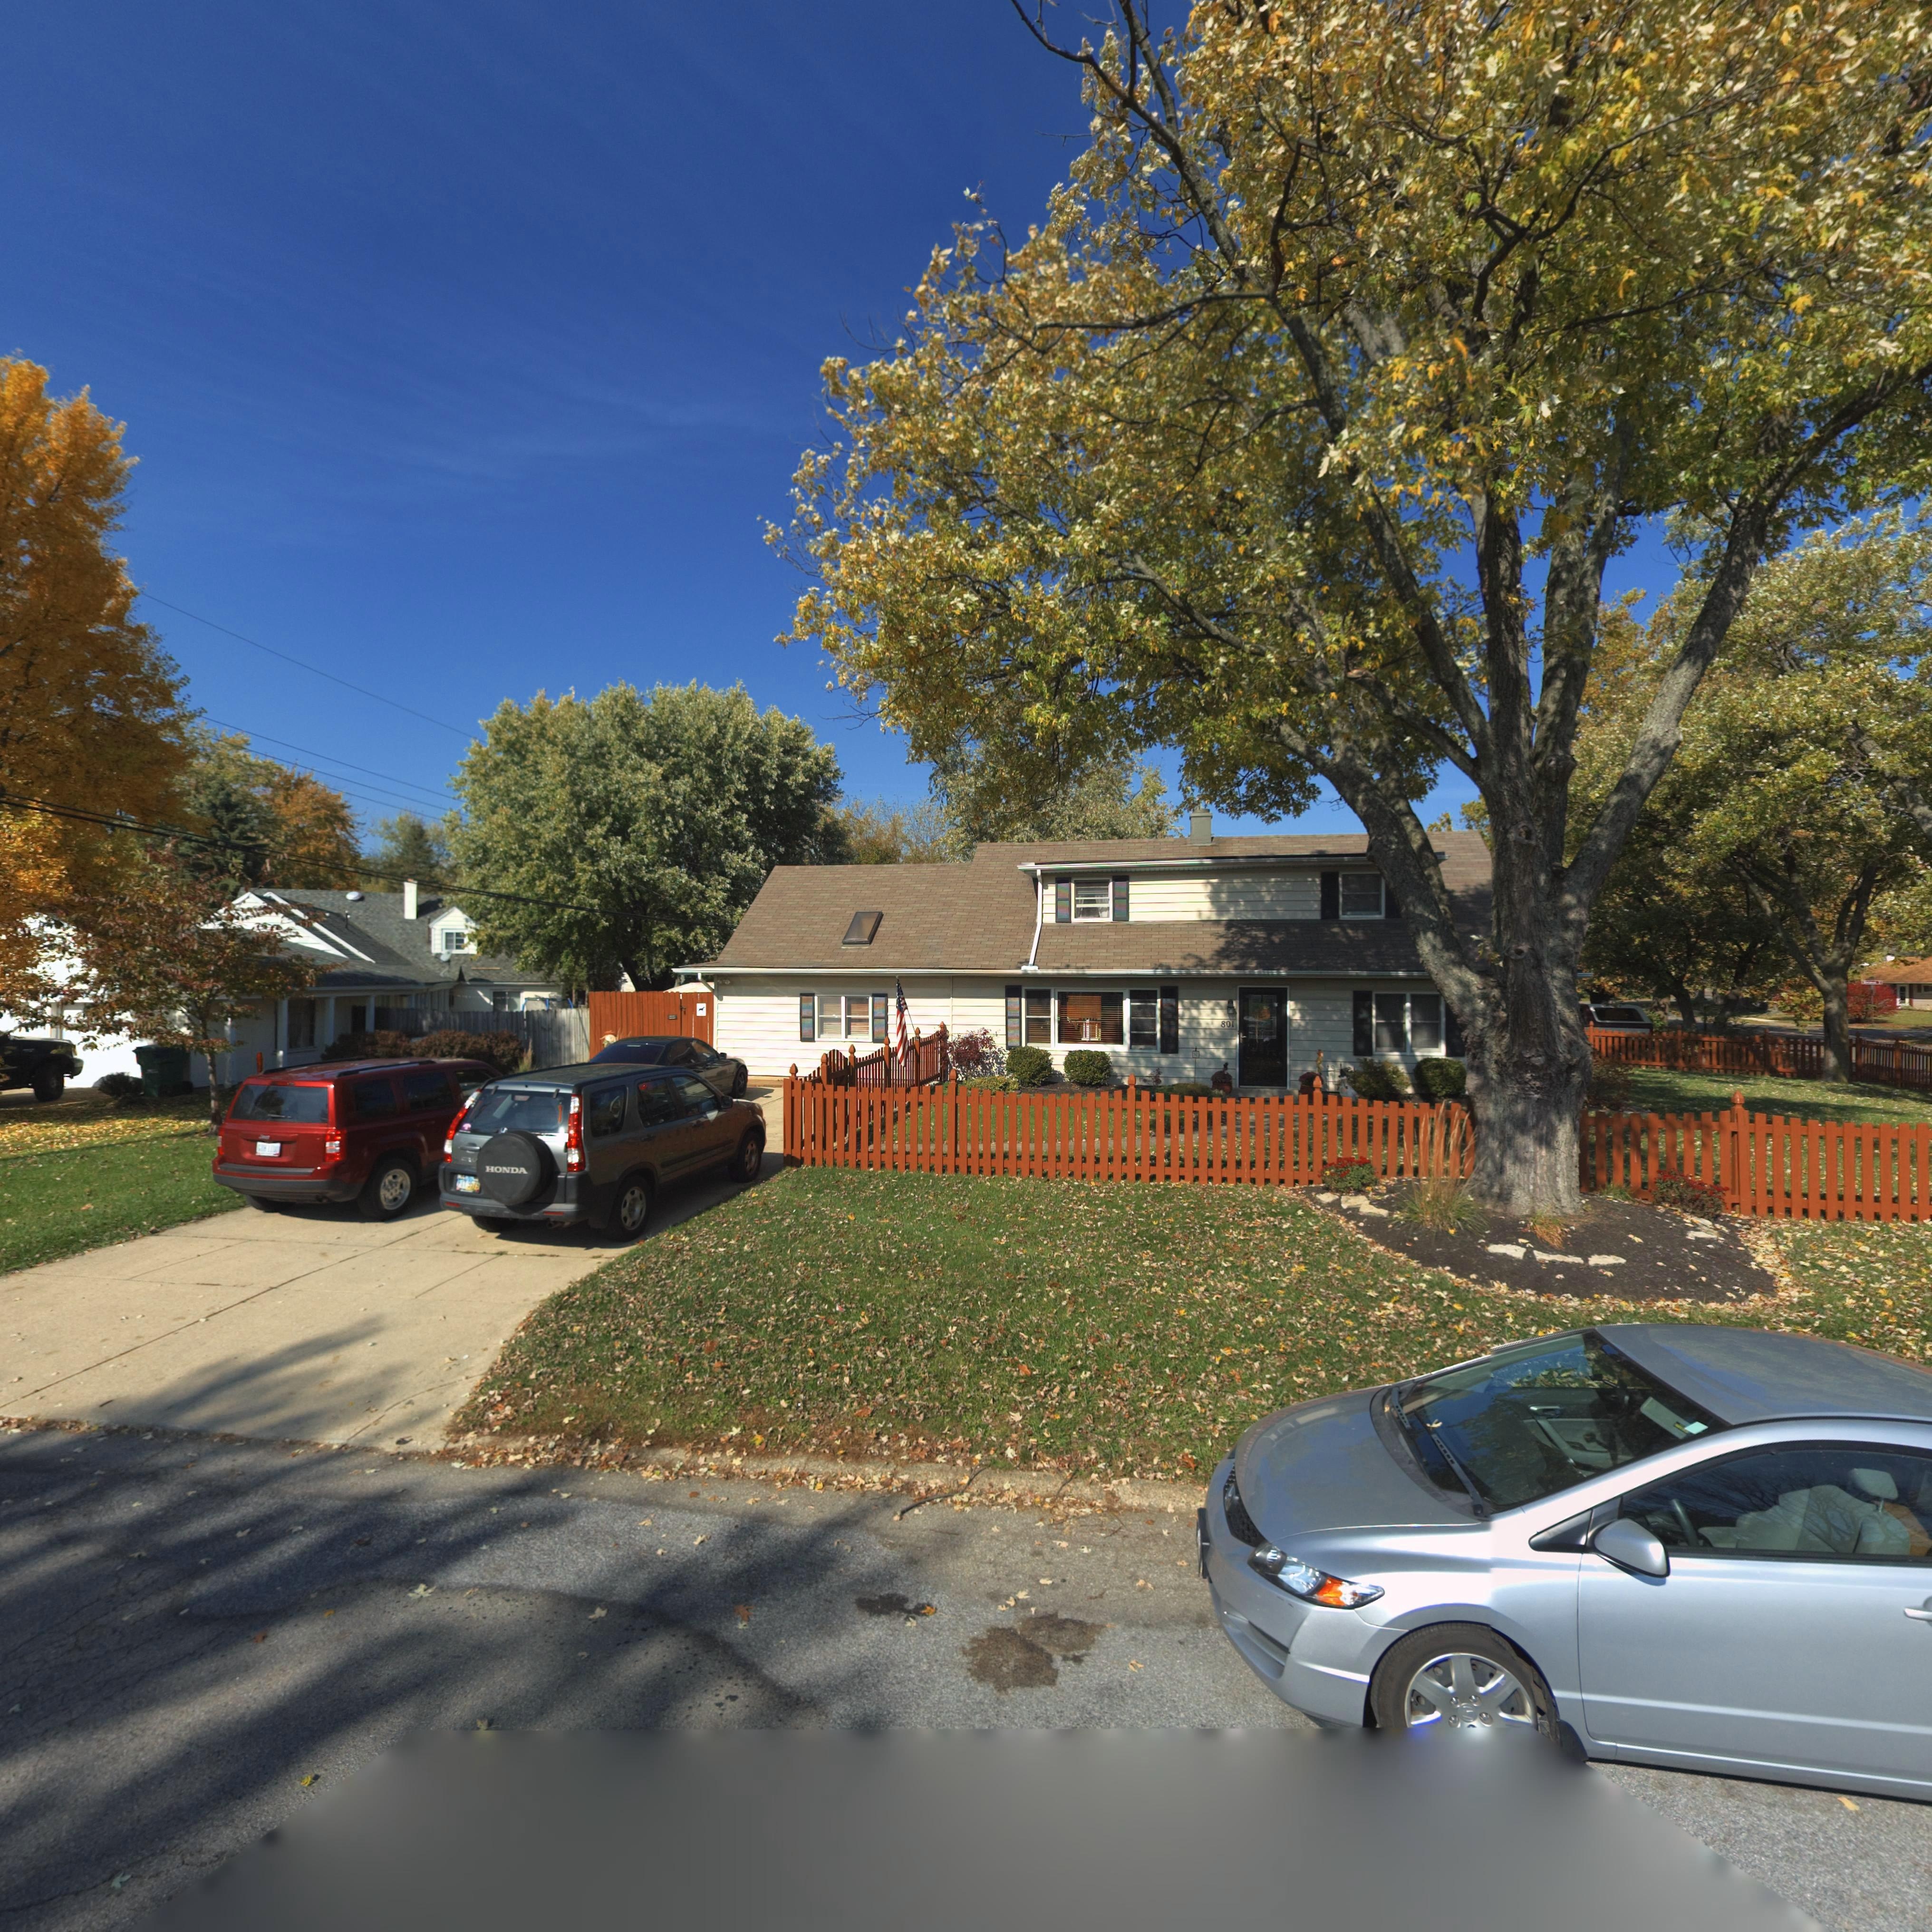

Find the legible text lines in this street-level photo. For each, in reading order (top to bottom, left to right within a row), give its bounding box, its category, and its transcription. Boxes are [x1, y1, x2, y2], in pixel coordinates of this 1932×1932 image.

[1220, 1020, 1235, 1028] StreetNumber: 801
[484, 1164, 529, 1175] None: HONDA